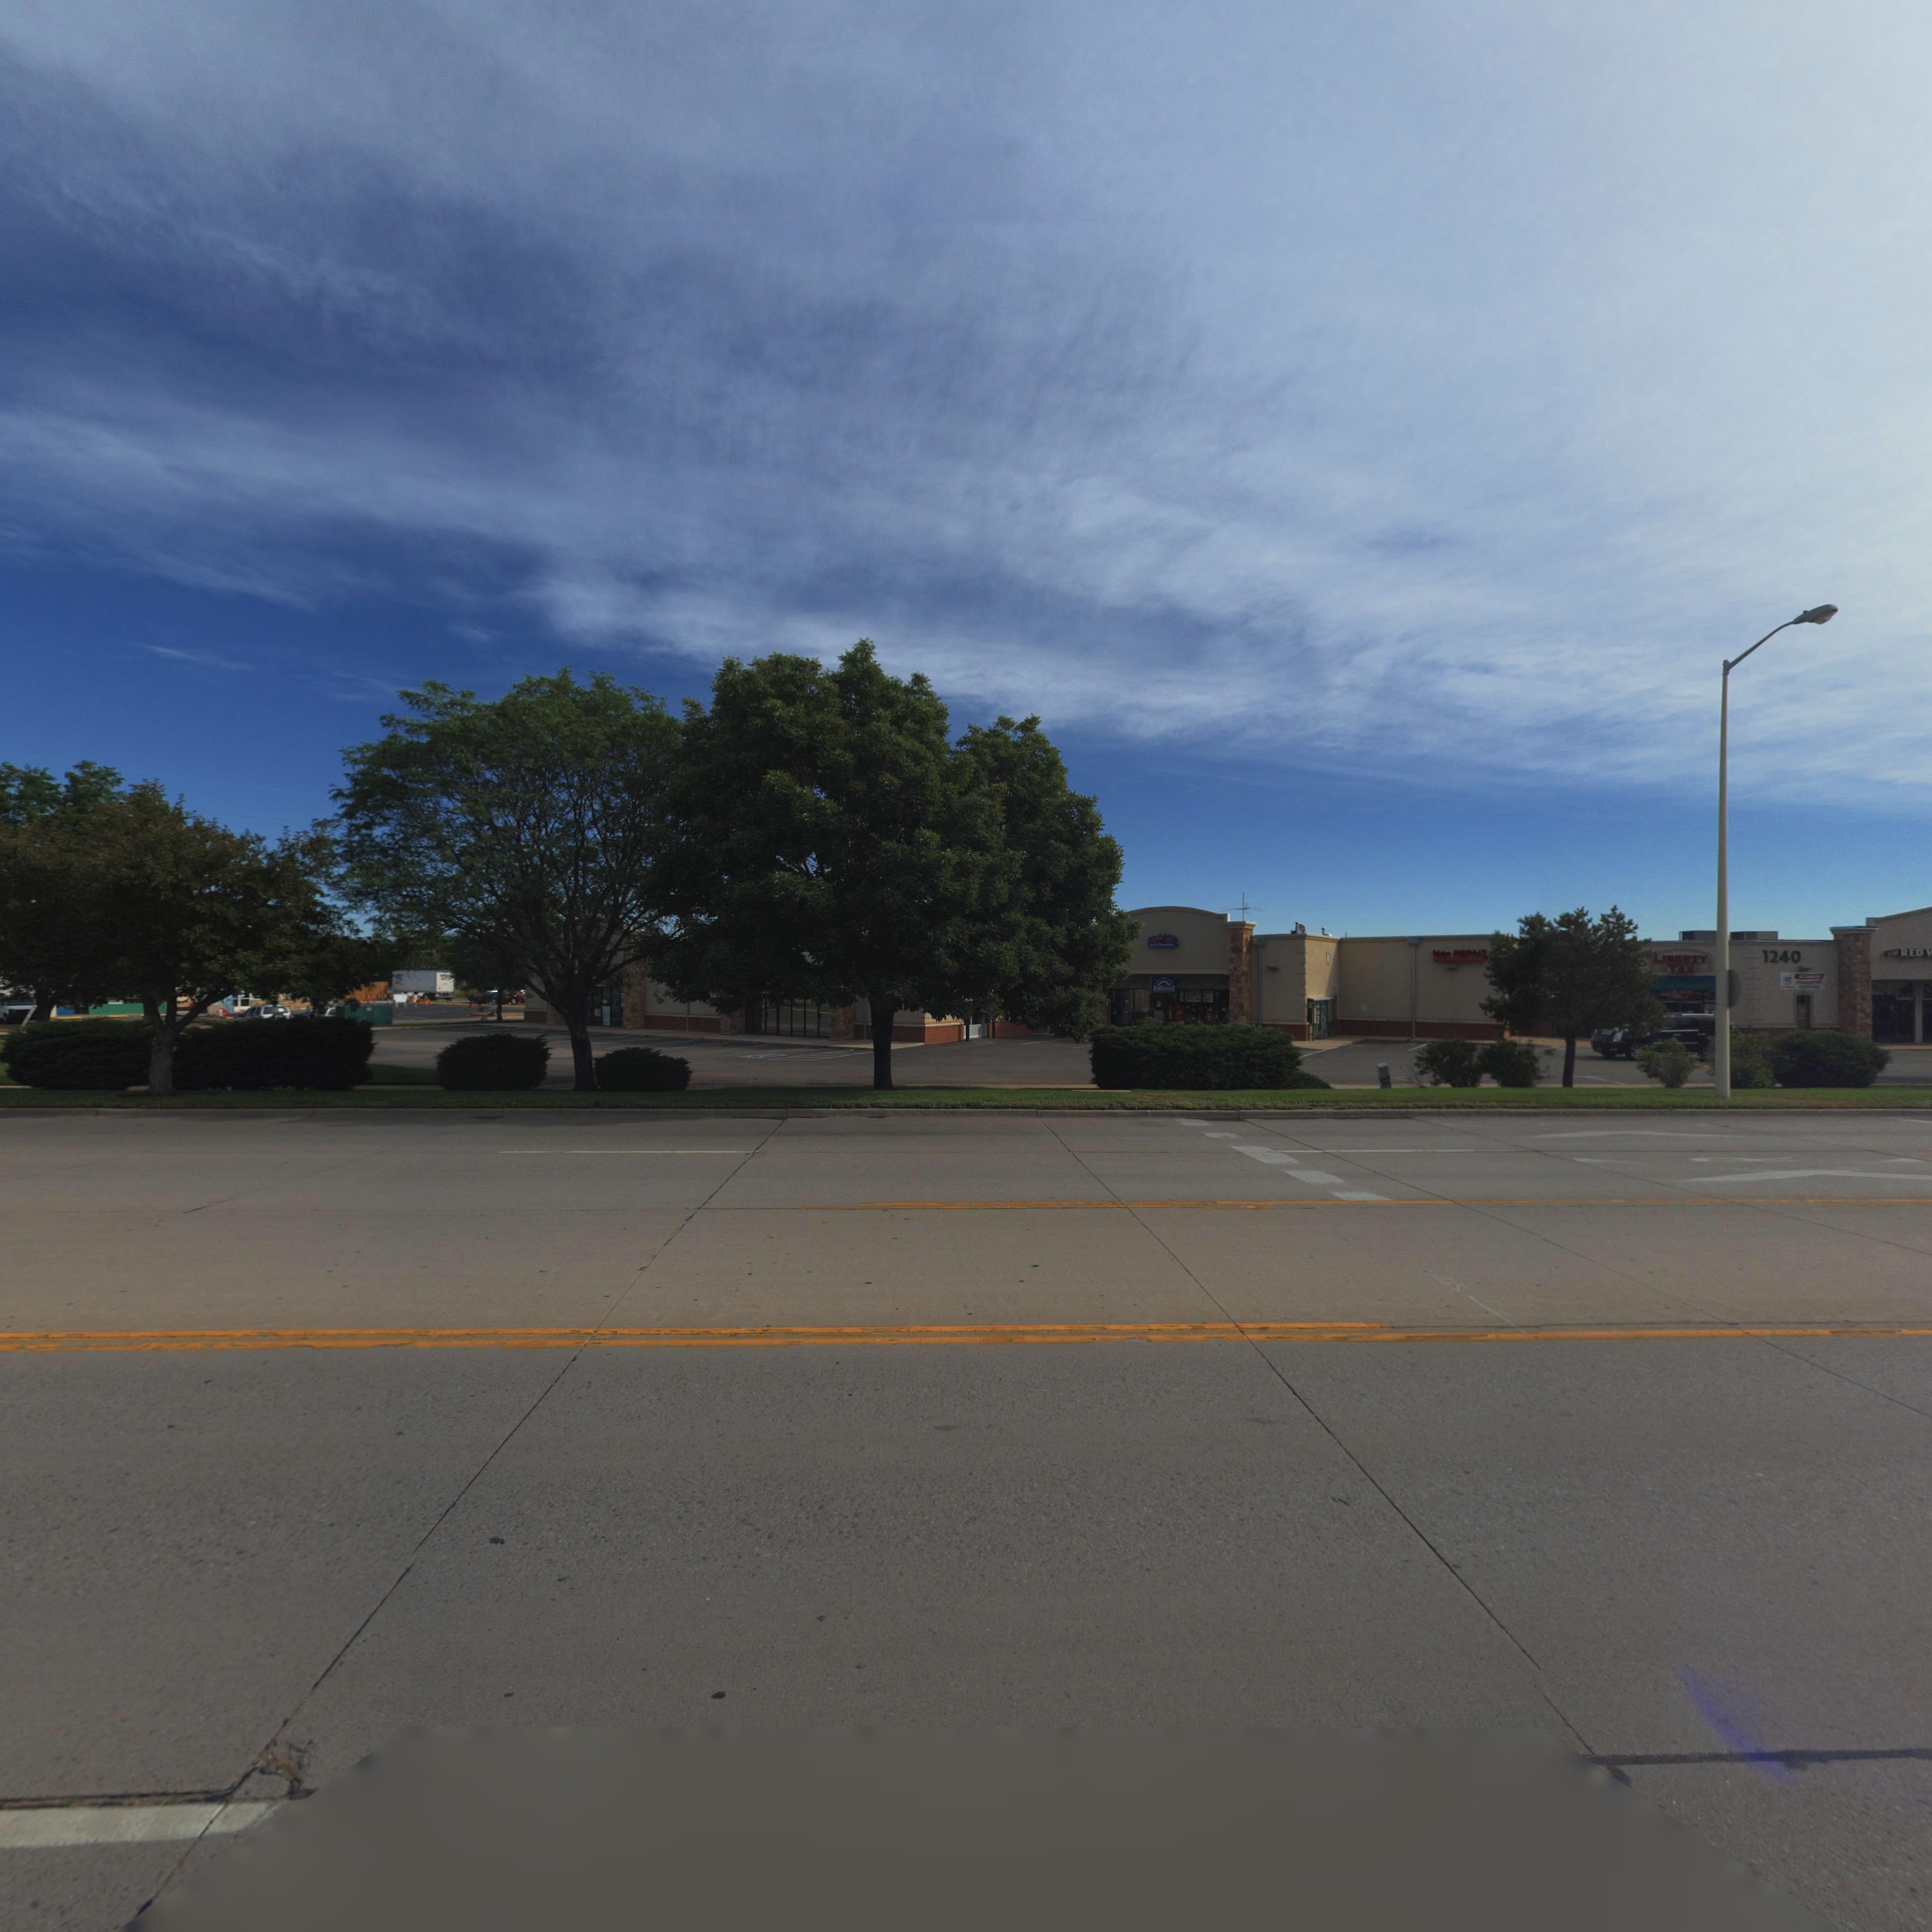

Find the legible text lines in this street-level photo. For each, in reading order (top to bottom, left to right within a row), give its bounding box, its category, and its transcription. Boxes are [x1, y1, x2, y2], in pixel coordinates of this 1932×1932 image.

[1652, 953, 1707, 964] BusinessName: LIBERTY
[1763, 950, 1800, 963] StreetNumber: 1240
[1899, 948, 1924, 956] BusinessName: RED
[1668, 964, 1695, 974] BusinessName: TAX